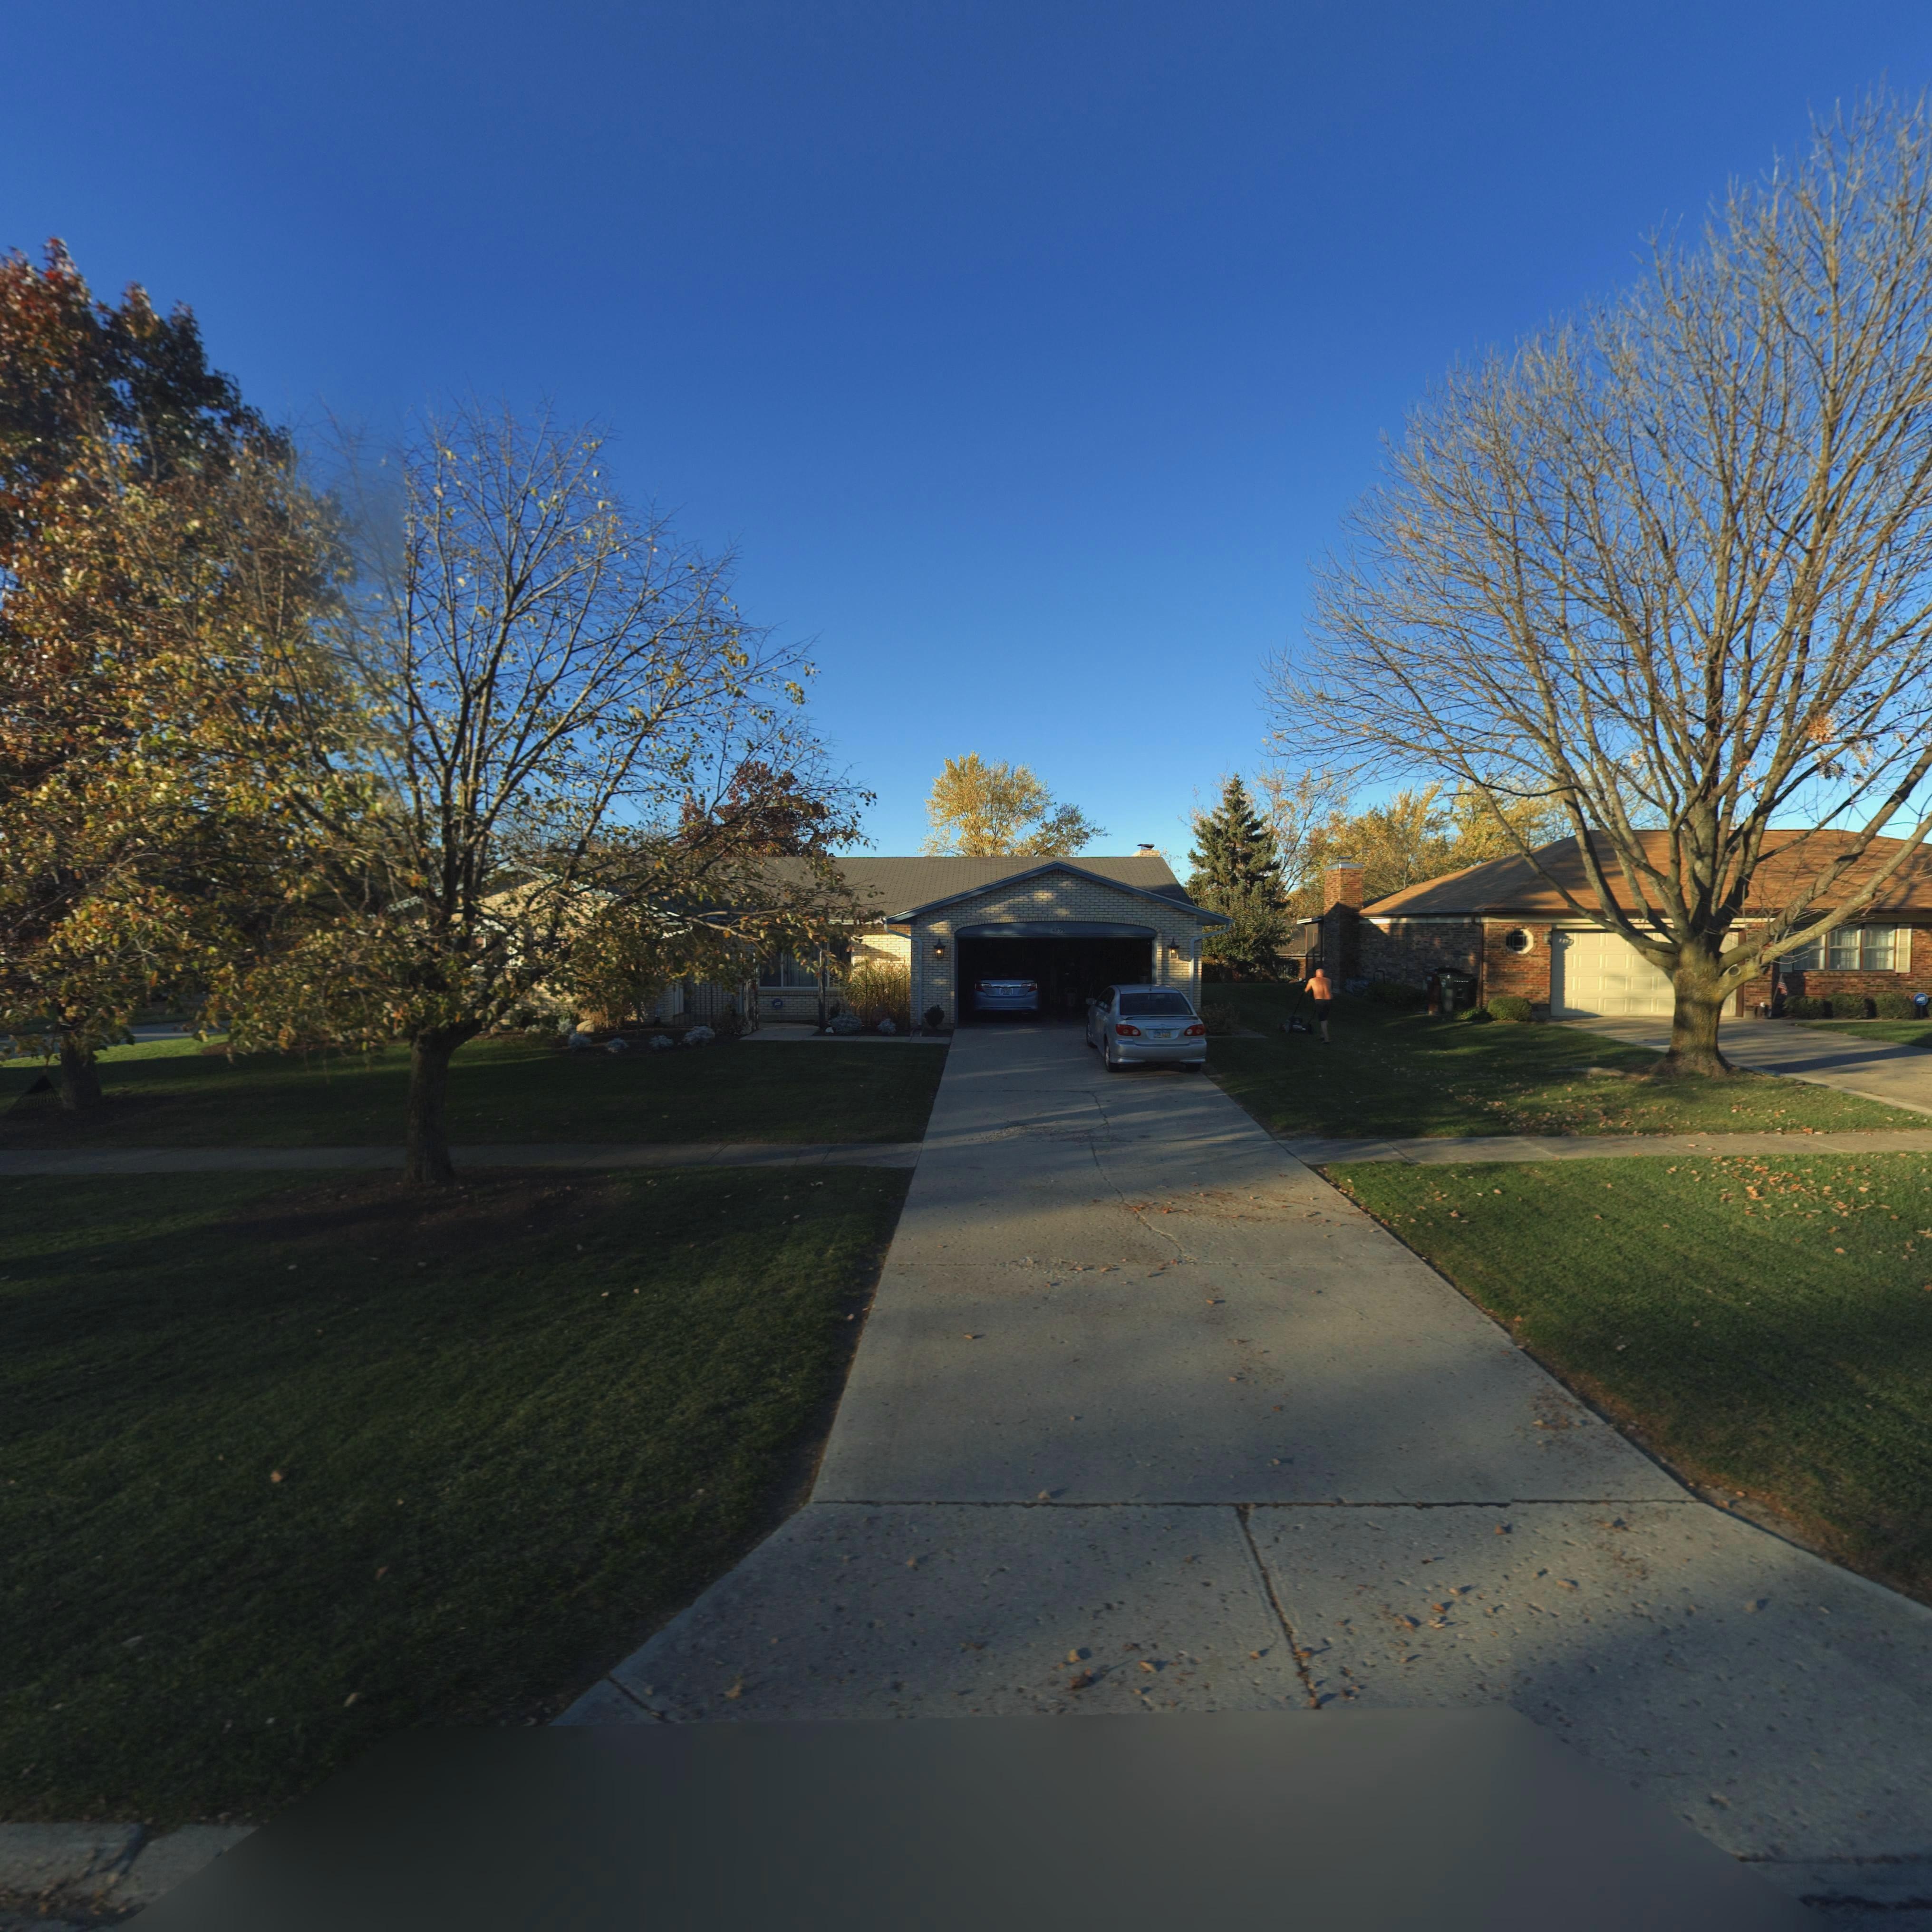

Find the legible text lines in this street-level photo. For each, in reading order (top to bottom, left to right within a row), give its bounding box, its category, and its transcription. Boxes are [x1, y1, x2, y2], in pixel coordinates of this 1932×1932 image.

[1638, 916, 1643, 923] StreetNumber: 4
[1052, 927, 1065, 933] StreetNumber: 4895